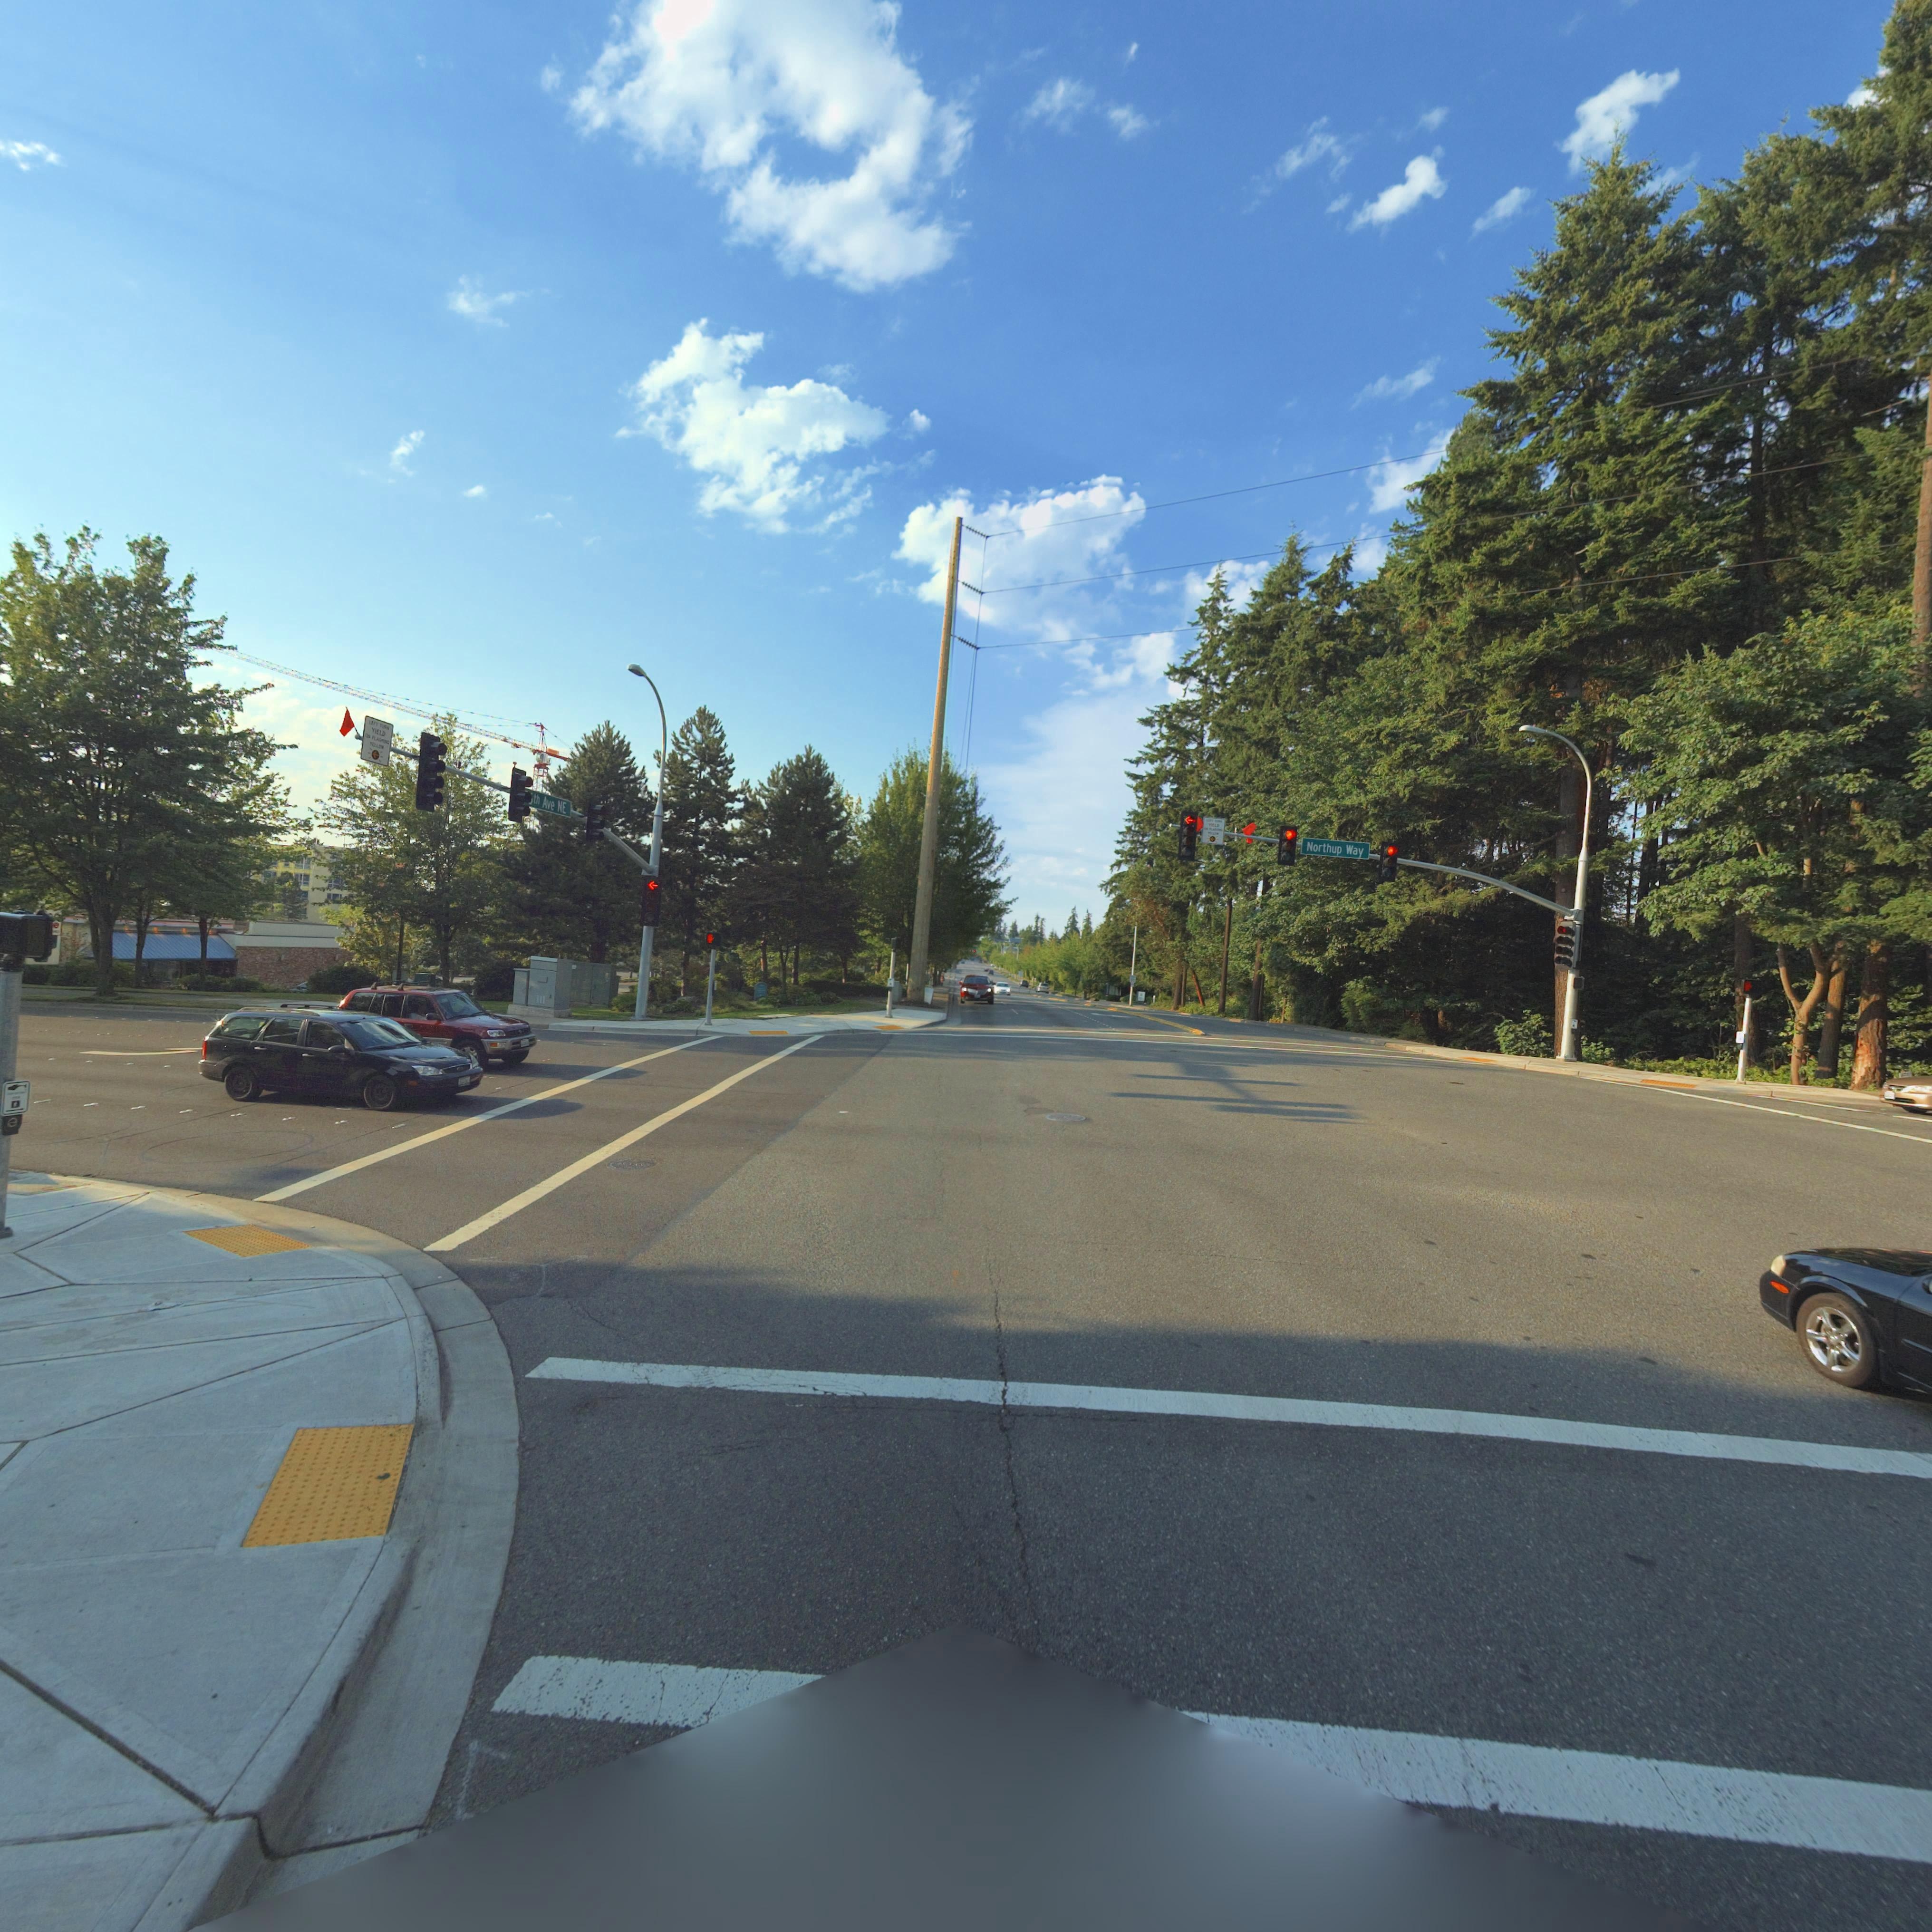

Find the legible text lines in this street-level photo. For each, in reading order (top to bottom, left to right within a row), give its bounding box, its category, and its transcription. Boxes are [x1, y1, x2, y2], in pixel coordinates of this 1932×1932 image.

[527, 792, 566, 814] StreetName: *th Ave NE
[1306, 841, 1363, 857] StreetName: Northup Way